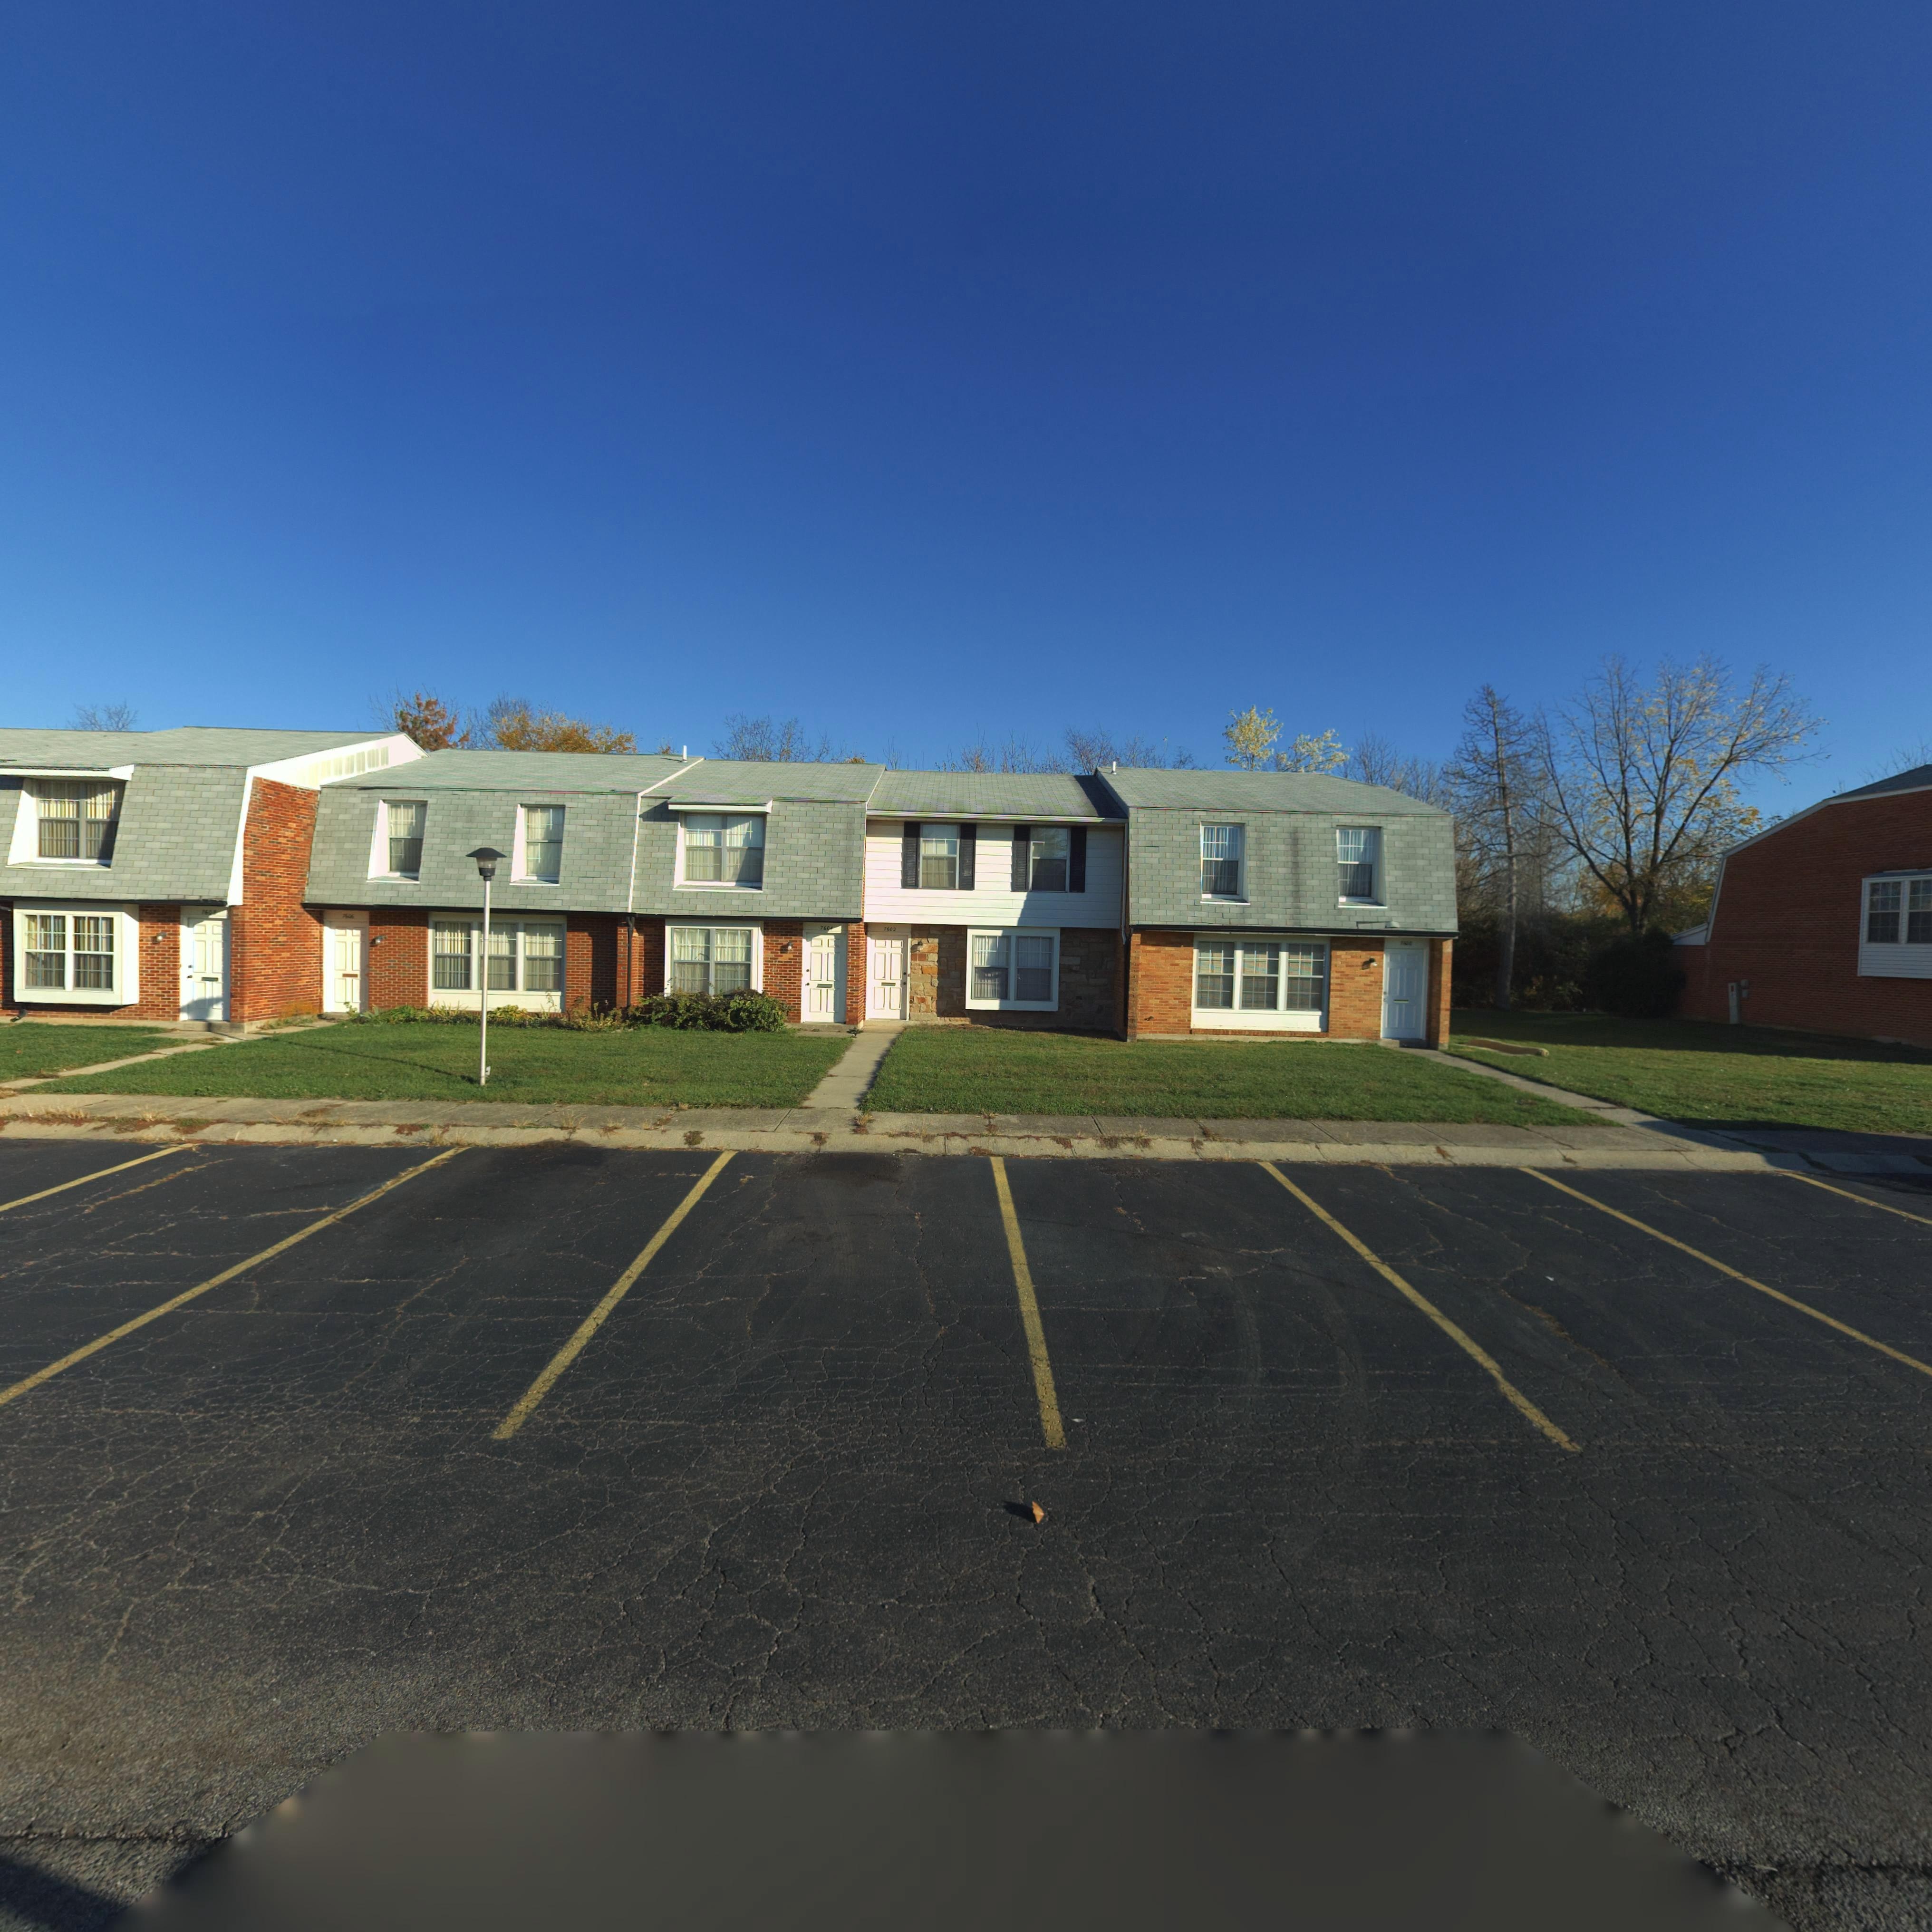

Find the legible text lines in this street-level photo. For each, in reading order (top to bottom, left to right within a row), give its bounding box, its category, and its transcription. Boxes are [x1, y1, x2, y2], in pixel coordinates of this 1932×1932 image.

[200, 908, 218, 916] StreetNumber: 760*
[819, 925, 834, 932] StreetNumber: 760*
[882, 925, 897, 933] StreetNumber: 7602